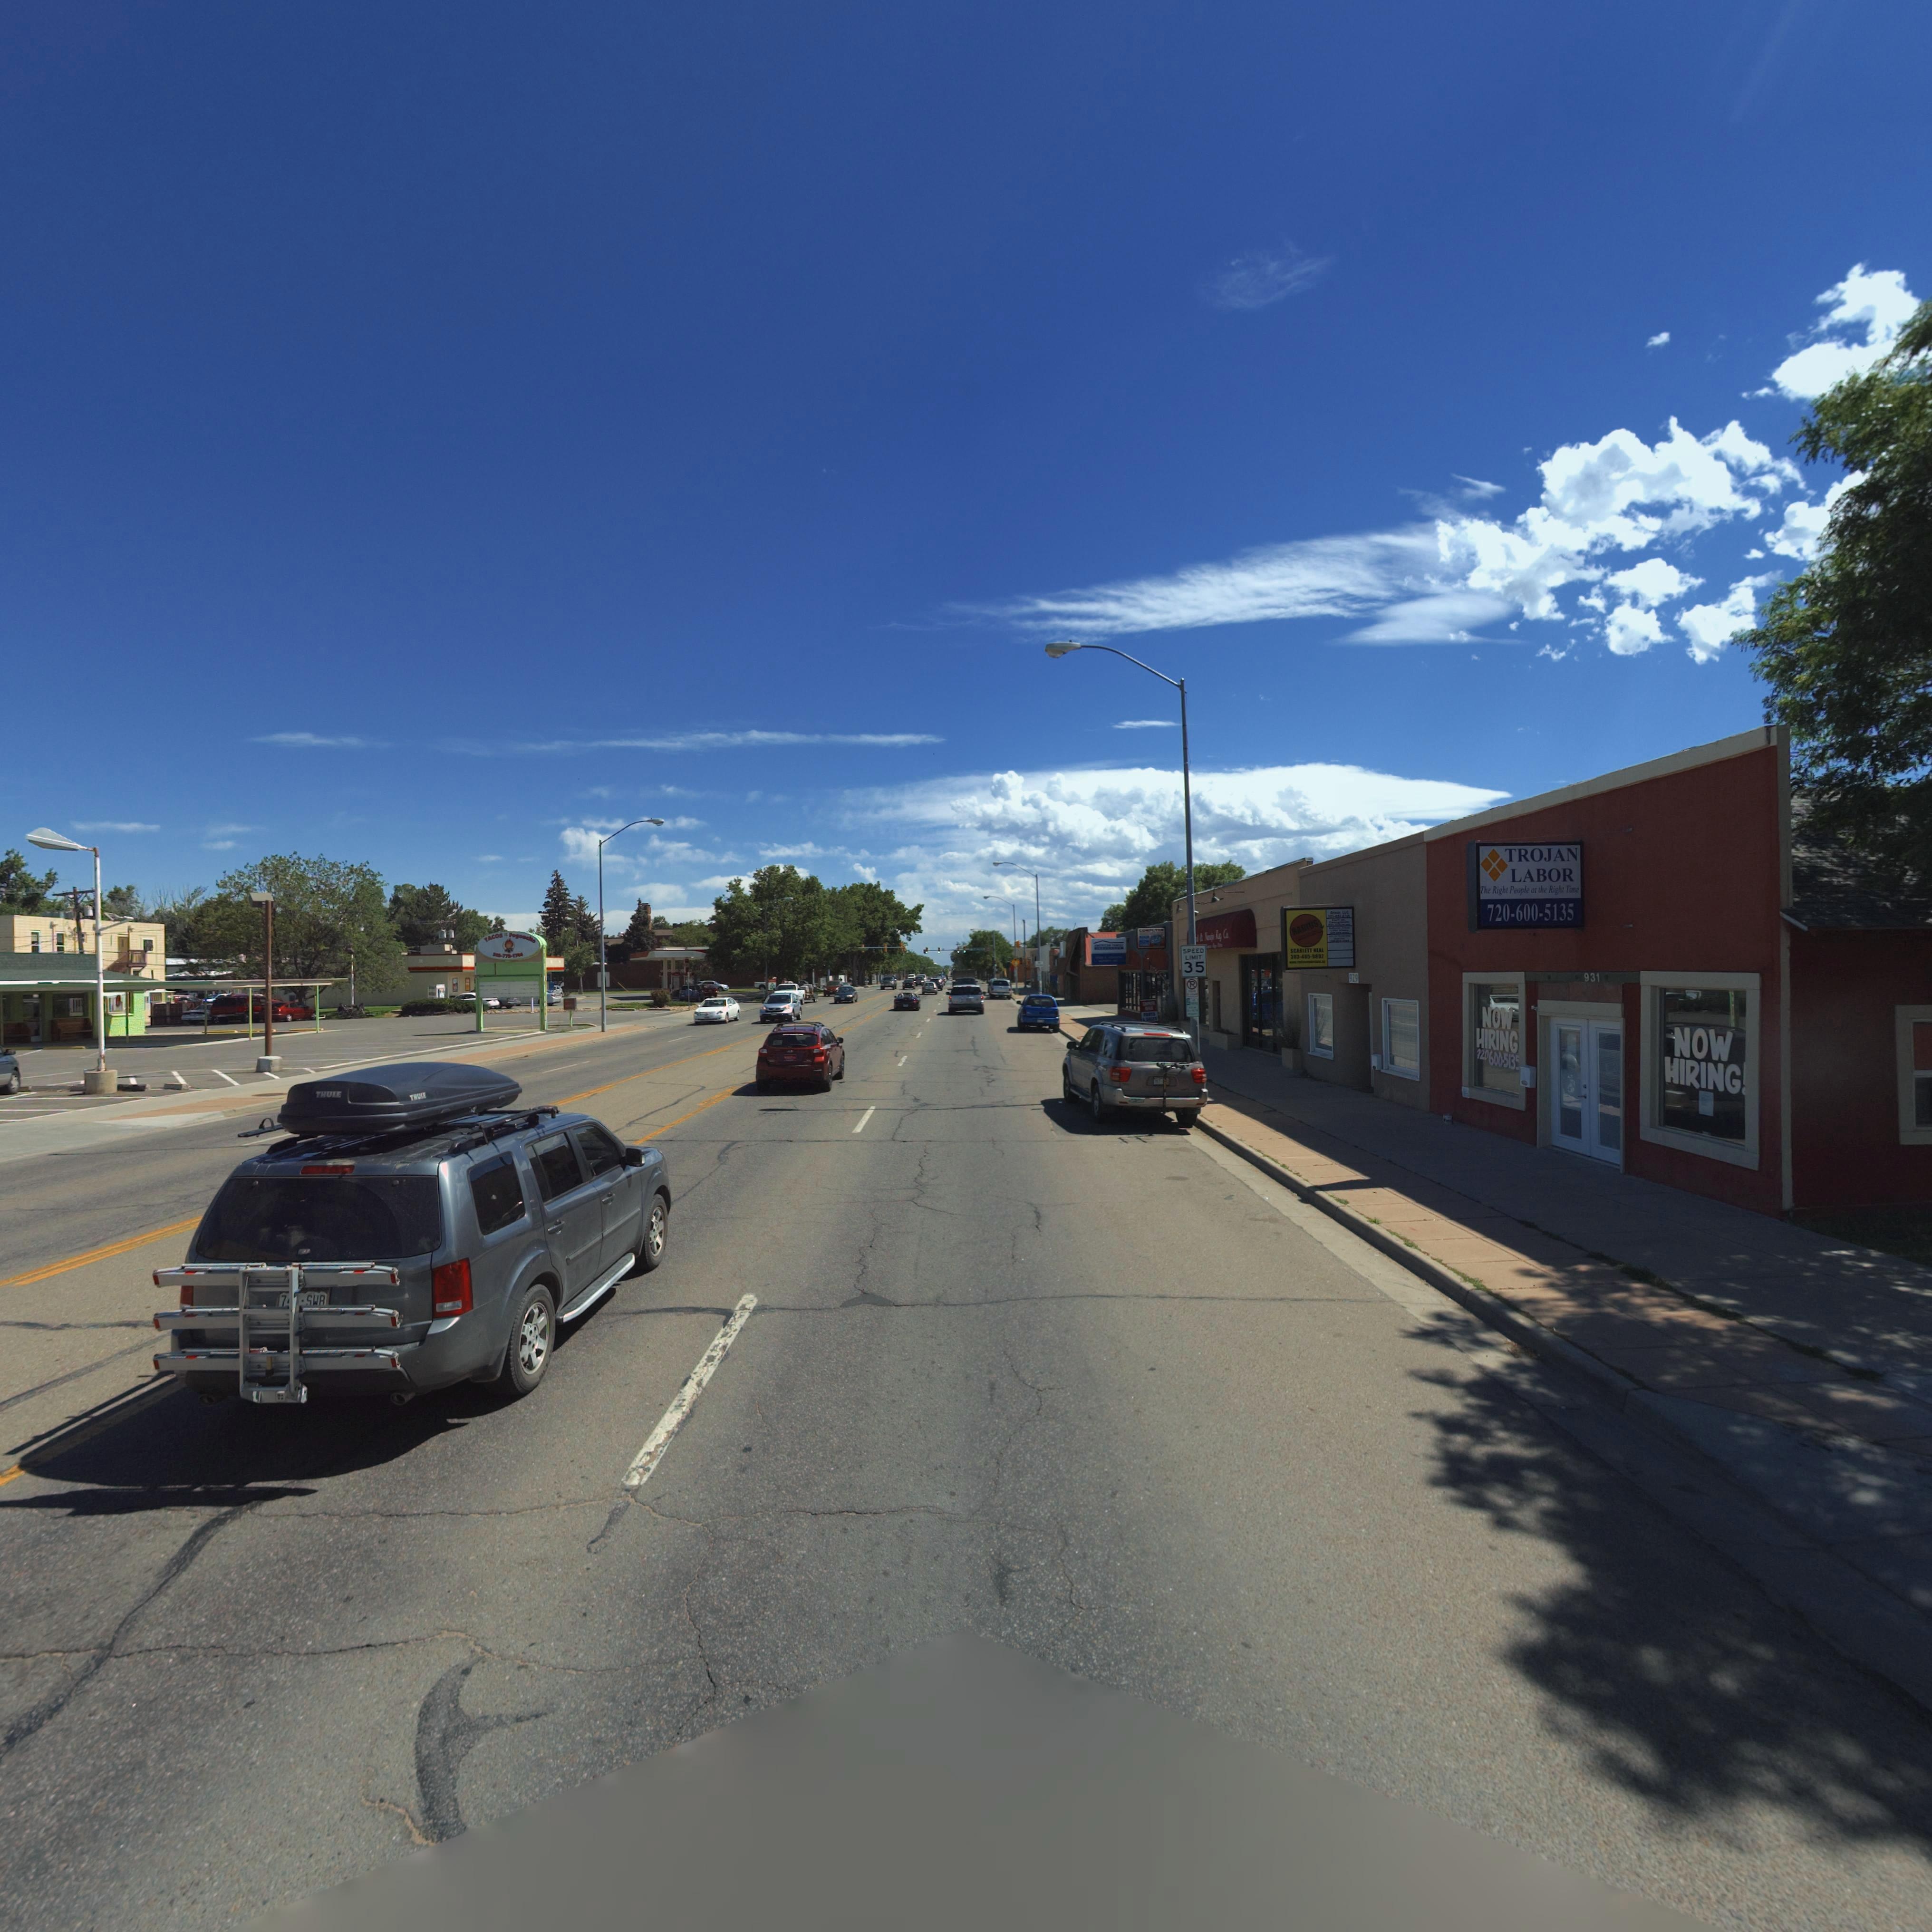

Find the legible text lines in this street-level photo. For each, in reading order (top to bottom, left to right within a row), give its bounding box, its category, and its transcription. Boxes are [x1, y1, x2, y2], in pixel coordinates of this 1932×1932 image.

[1504, 848, 1577, 862] BusinessName: TROJAN
[1510, 868, 1575, 882] BusinessName: LABOR
[483, 932, 536, 944] BusinessName: TACOS ** Pogo*c*o
[1139, 928, 1163, 932] BusinessName: COM**TE*
[1199, 928, 1228, 942] BusinessName: & N***jo Rug Co
[1291, 919, 1319, 936] BusinessName: RADIUS
[1093, 943, 1124, 947] BusinessName: AM***C** F****Y
[1349, 974, 1357, 982] StreetNumber: 929
[1584, 972, 1600, 982] StreetNumber: 931